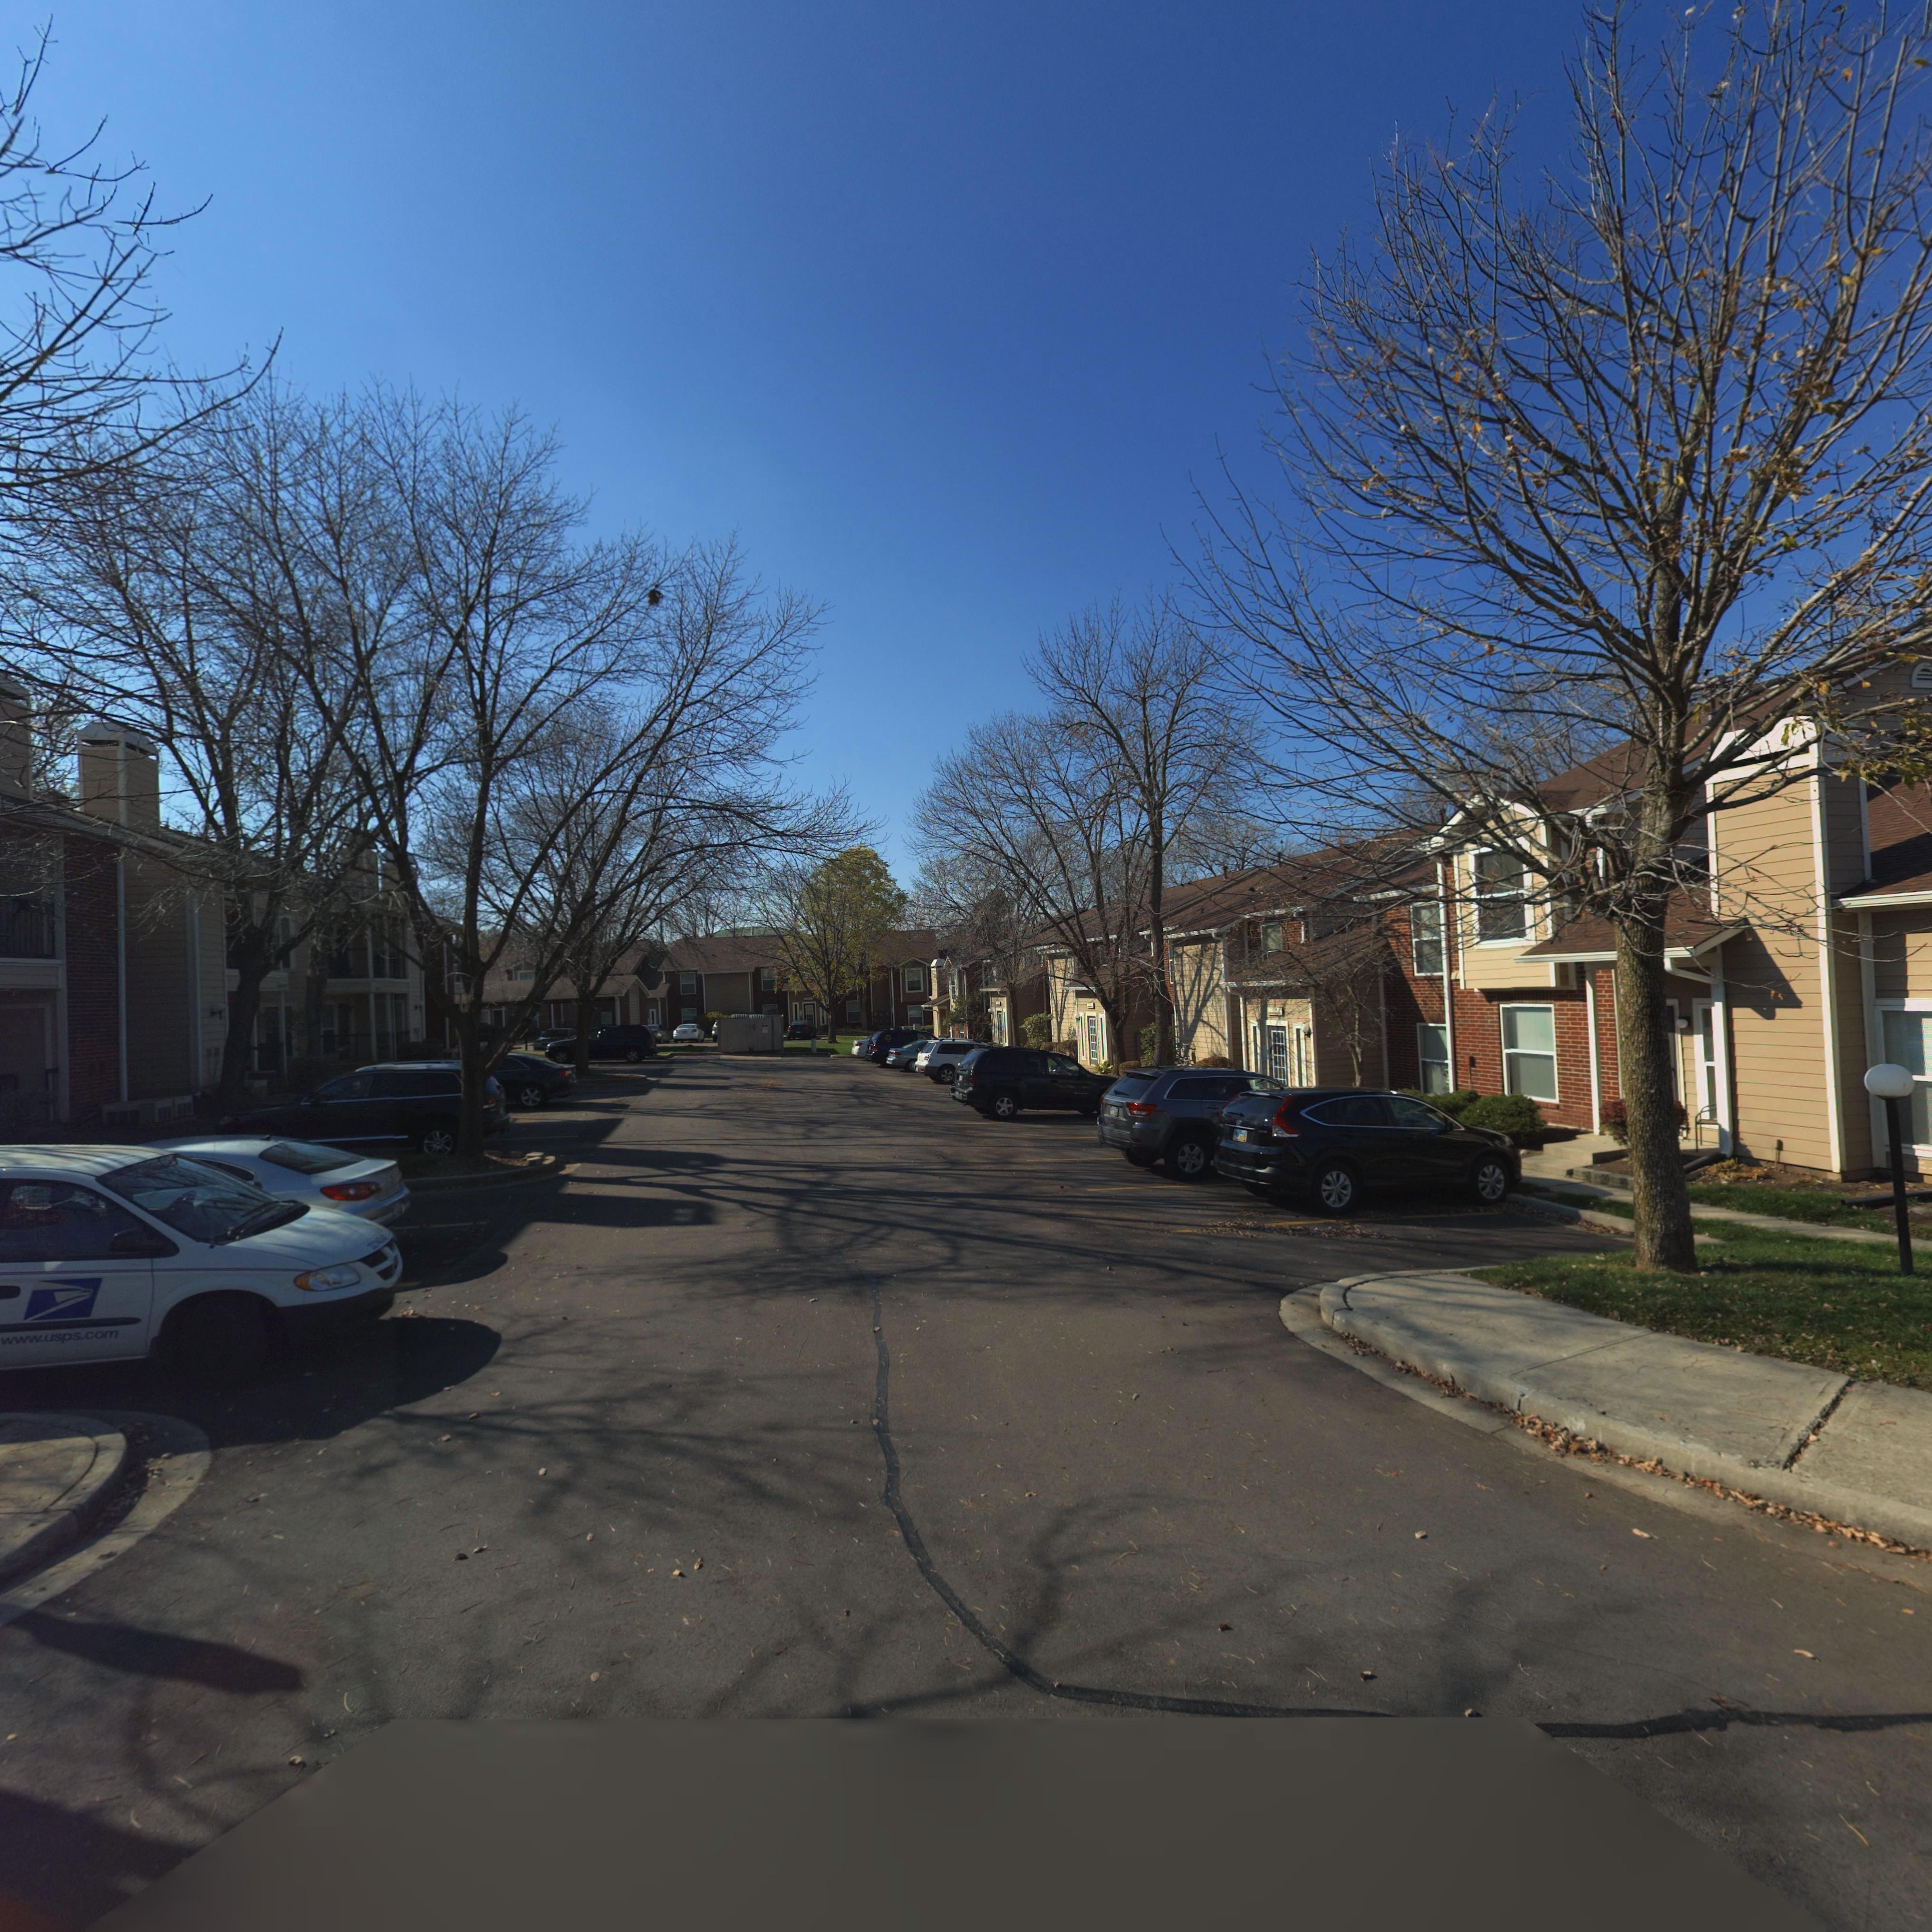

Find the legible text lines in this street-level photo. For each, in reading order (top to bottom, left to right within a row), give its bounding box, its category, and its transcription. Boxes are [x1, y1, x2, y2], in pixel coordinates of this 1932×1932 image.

[1, 1329, 119, 1346] None: www.usps.com